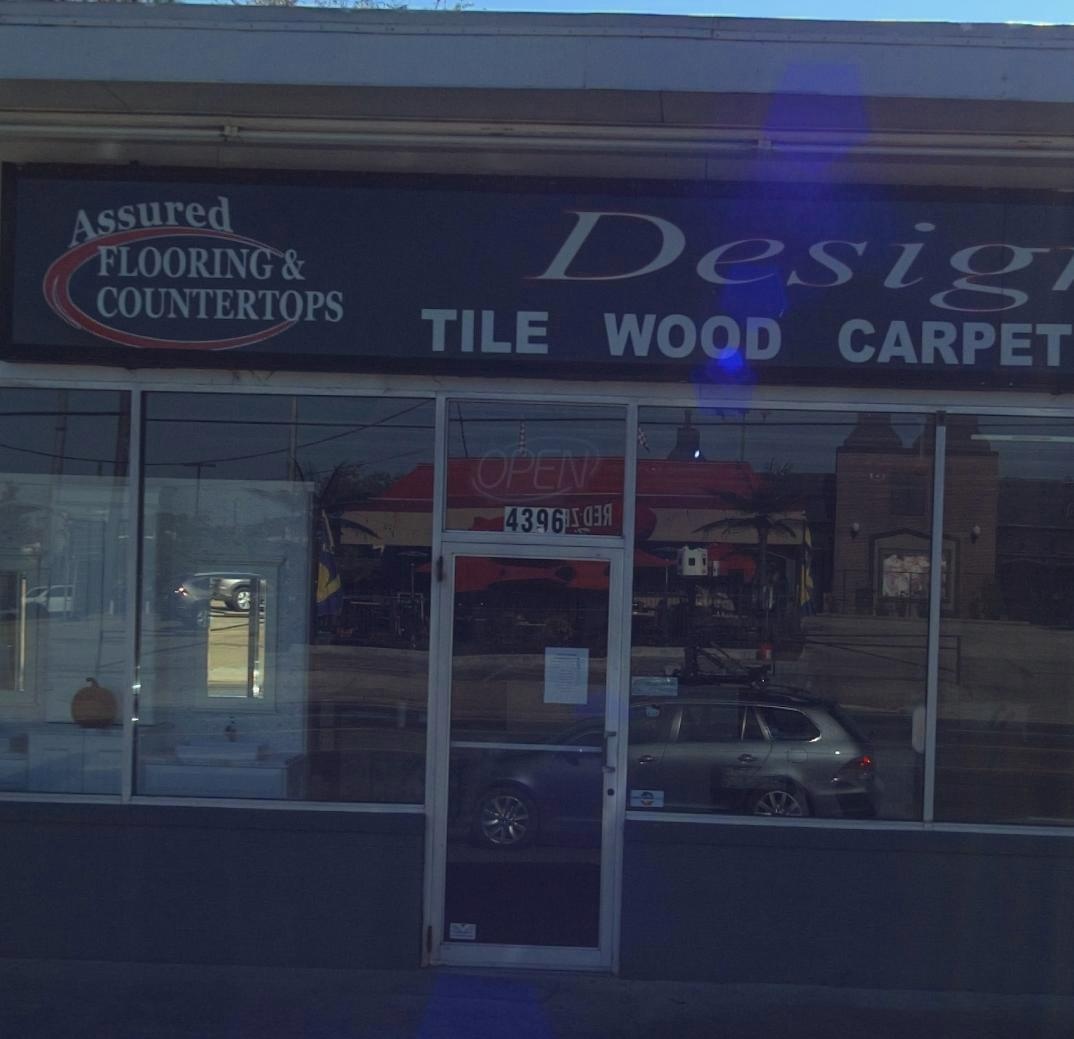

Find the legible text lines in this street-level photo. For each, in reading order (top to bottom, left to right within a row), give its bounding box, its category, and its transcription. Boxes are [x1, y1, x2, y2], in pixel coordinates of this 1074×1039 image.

[65, 191, 238, 252] None: Assured
[92, 242, 276, 284] None: FLOORING
[521, 208, 1055, 315] BusinessName: Desig
[93, 283, 348, 325] None: COUNTERTOPS
[417, 301, 1074, 371] None: TILE WOOD CARPET
[475, 446, 594, 494] None: OPEN
[503, 505, 565, 536] StreetNumber: 4396
[568, 501, 617, 531] None: *-***